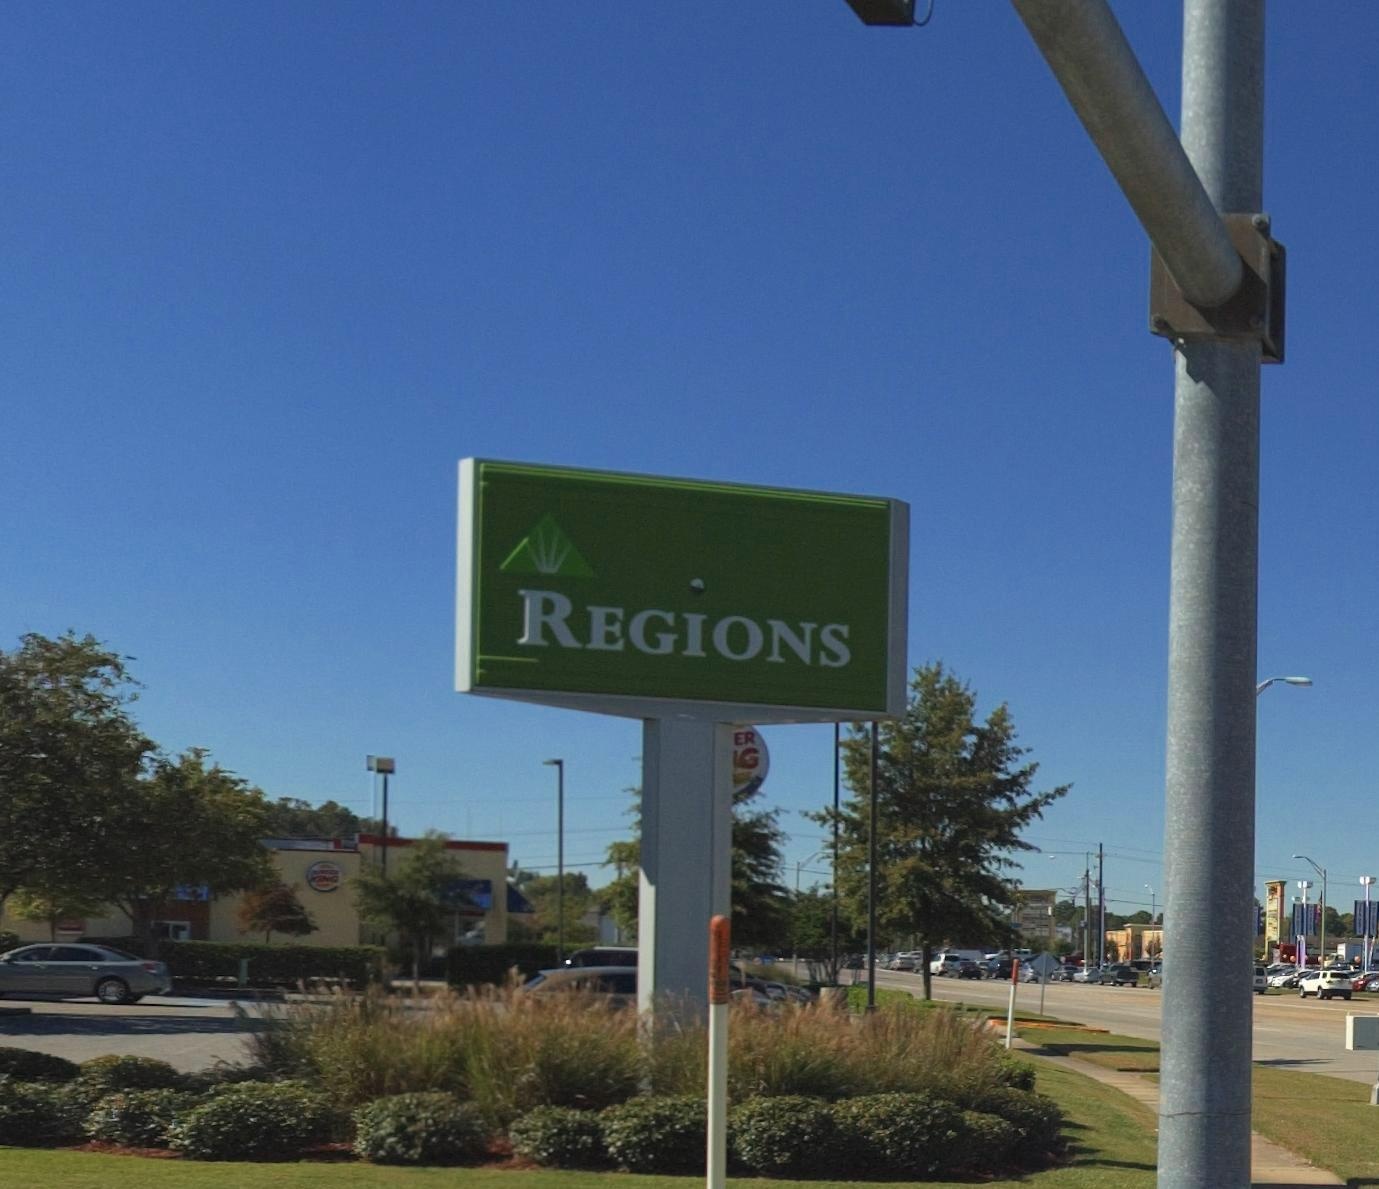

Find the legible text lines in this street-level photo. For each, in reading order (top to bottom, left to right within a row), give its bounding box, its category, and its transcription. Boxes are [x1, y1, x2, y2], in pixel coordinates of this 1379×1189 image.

[511, 581, 856, 674] BusinessName: REGIONS
[731, 728, 758, 749] BusinessName: ER
[736, 745, 762, 773] BusinessName: G